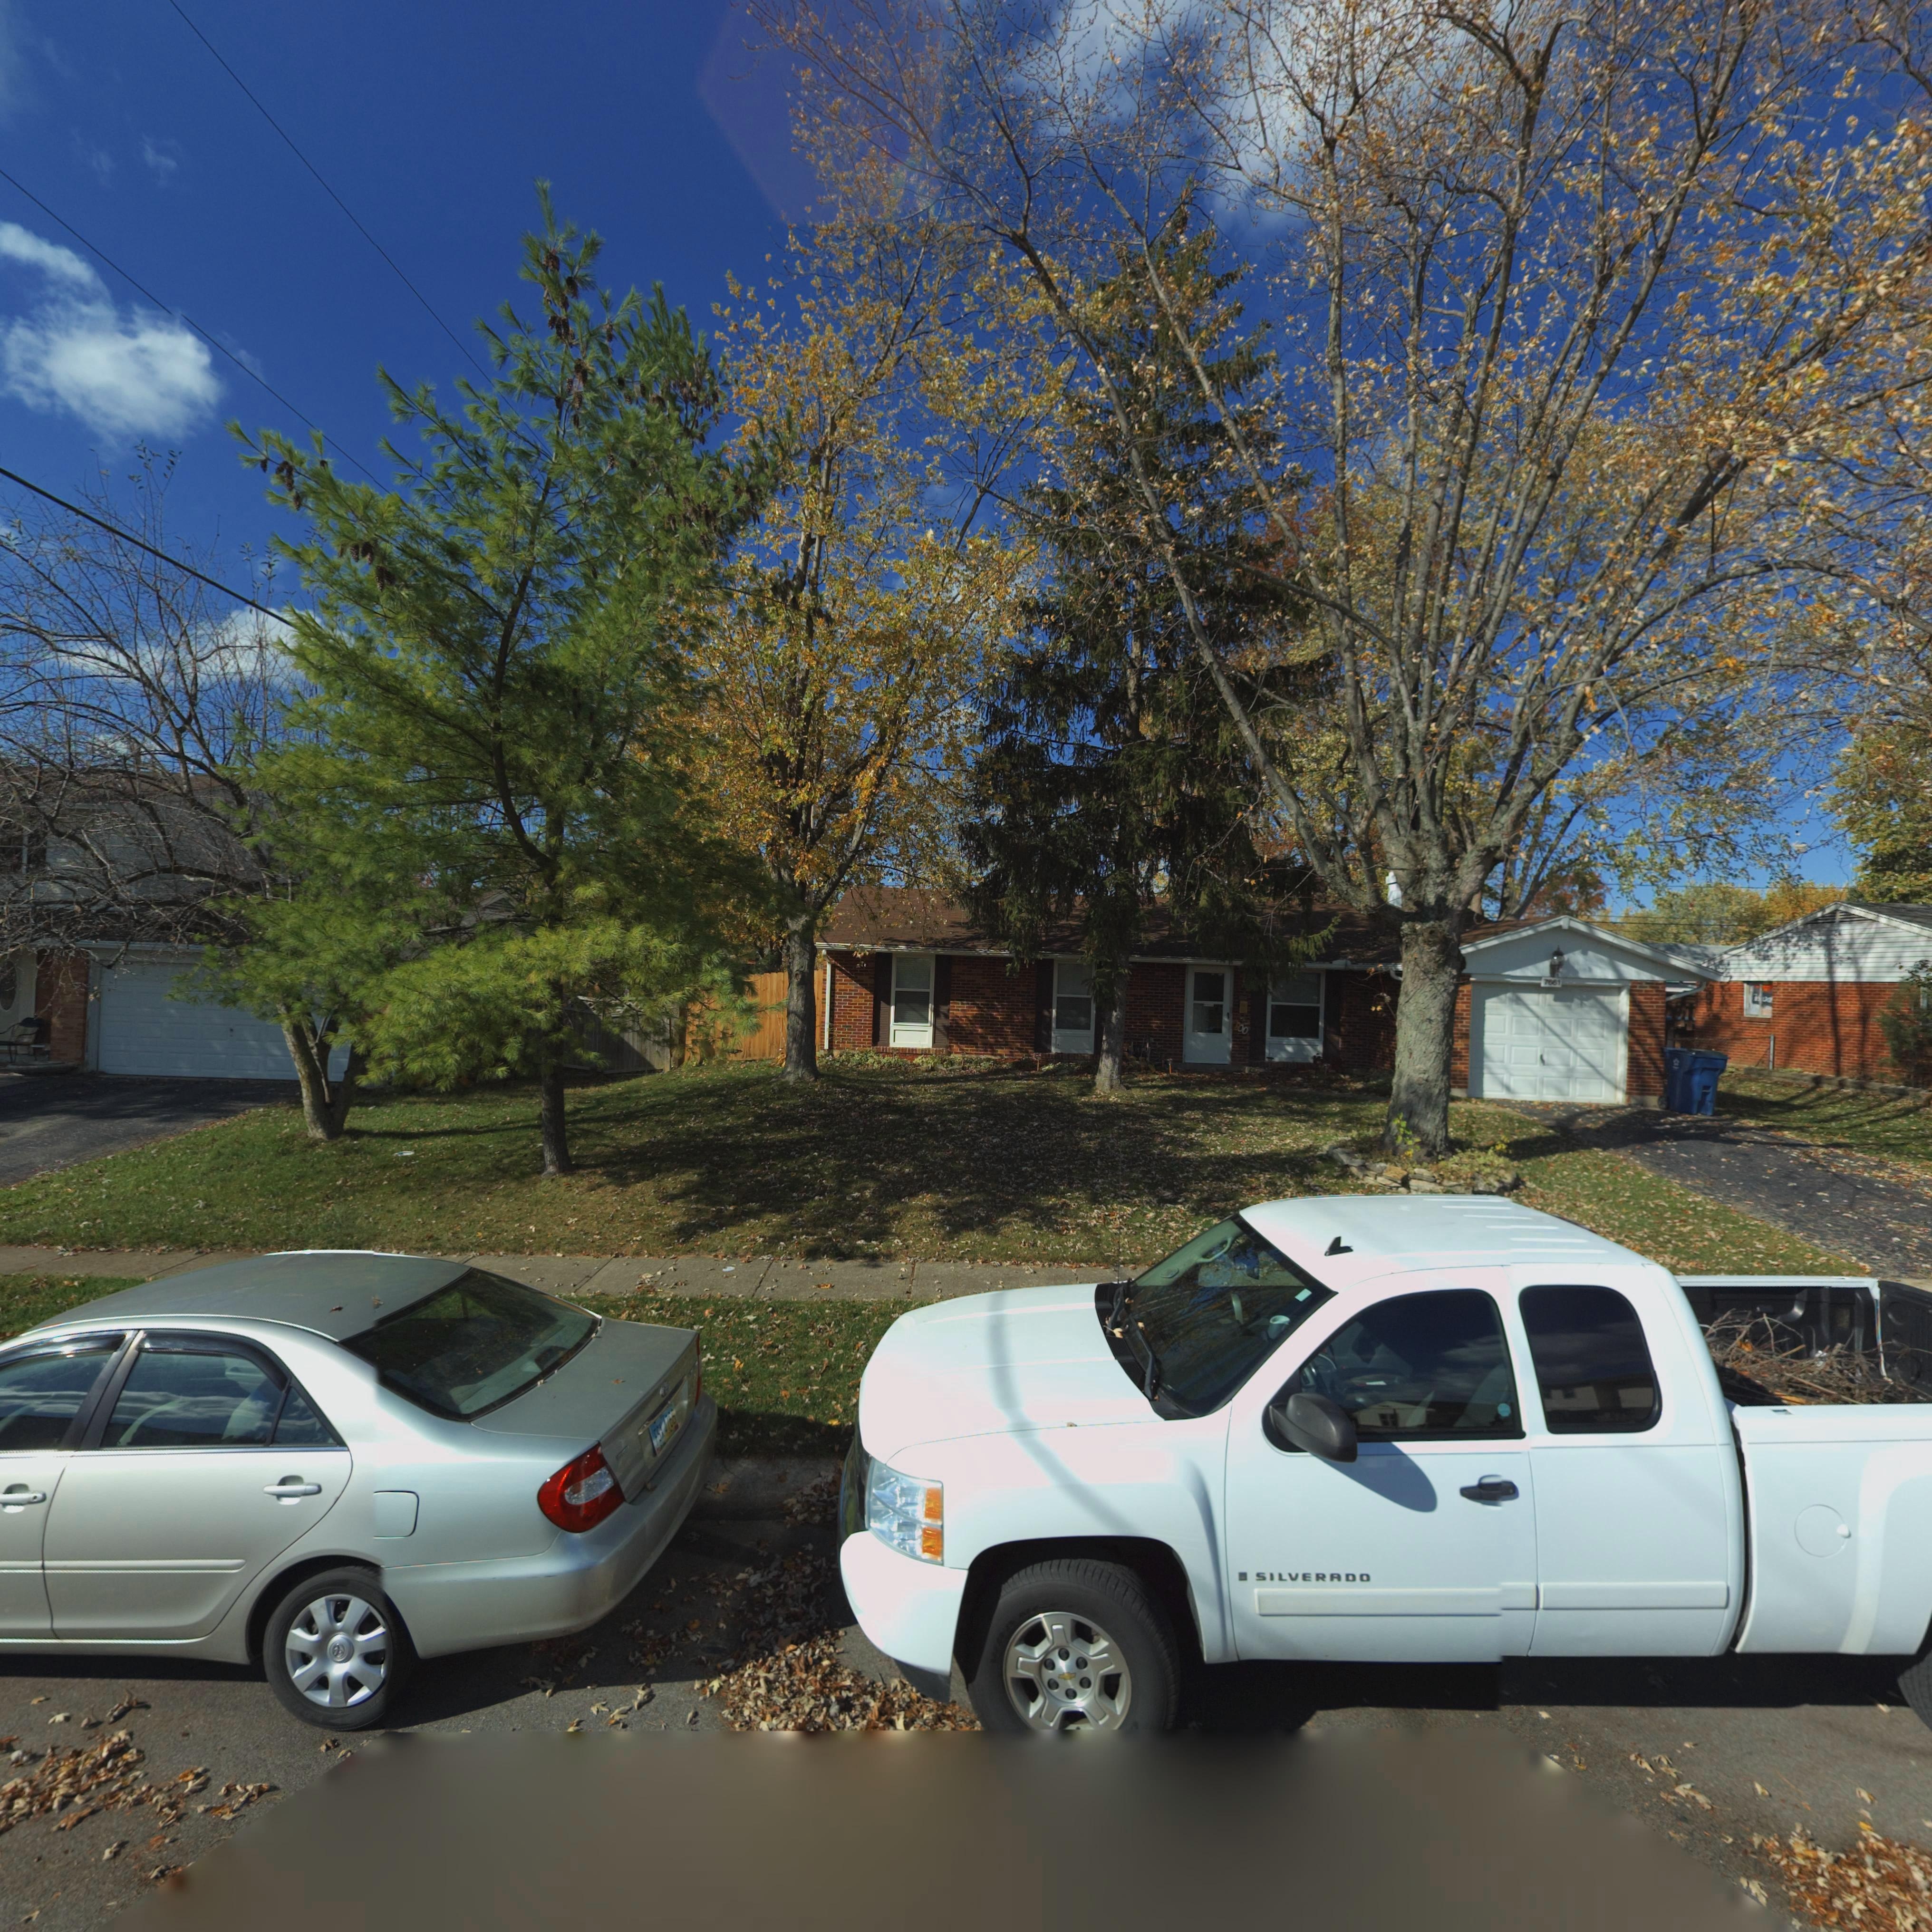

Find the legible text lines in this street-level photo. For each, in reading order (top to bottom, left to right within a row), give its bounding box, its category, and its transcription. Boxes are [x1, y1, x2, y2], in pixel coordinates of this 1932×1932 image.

[1542, 978, 1561, 986] StreetNumber: 7661